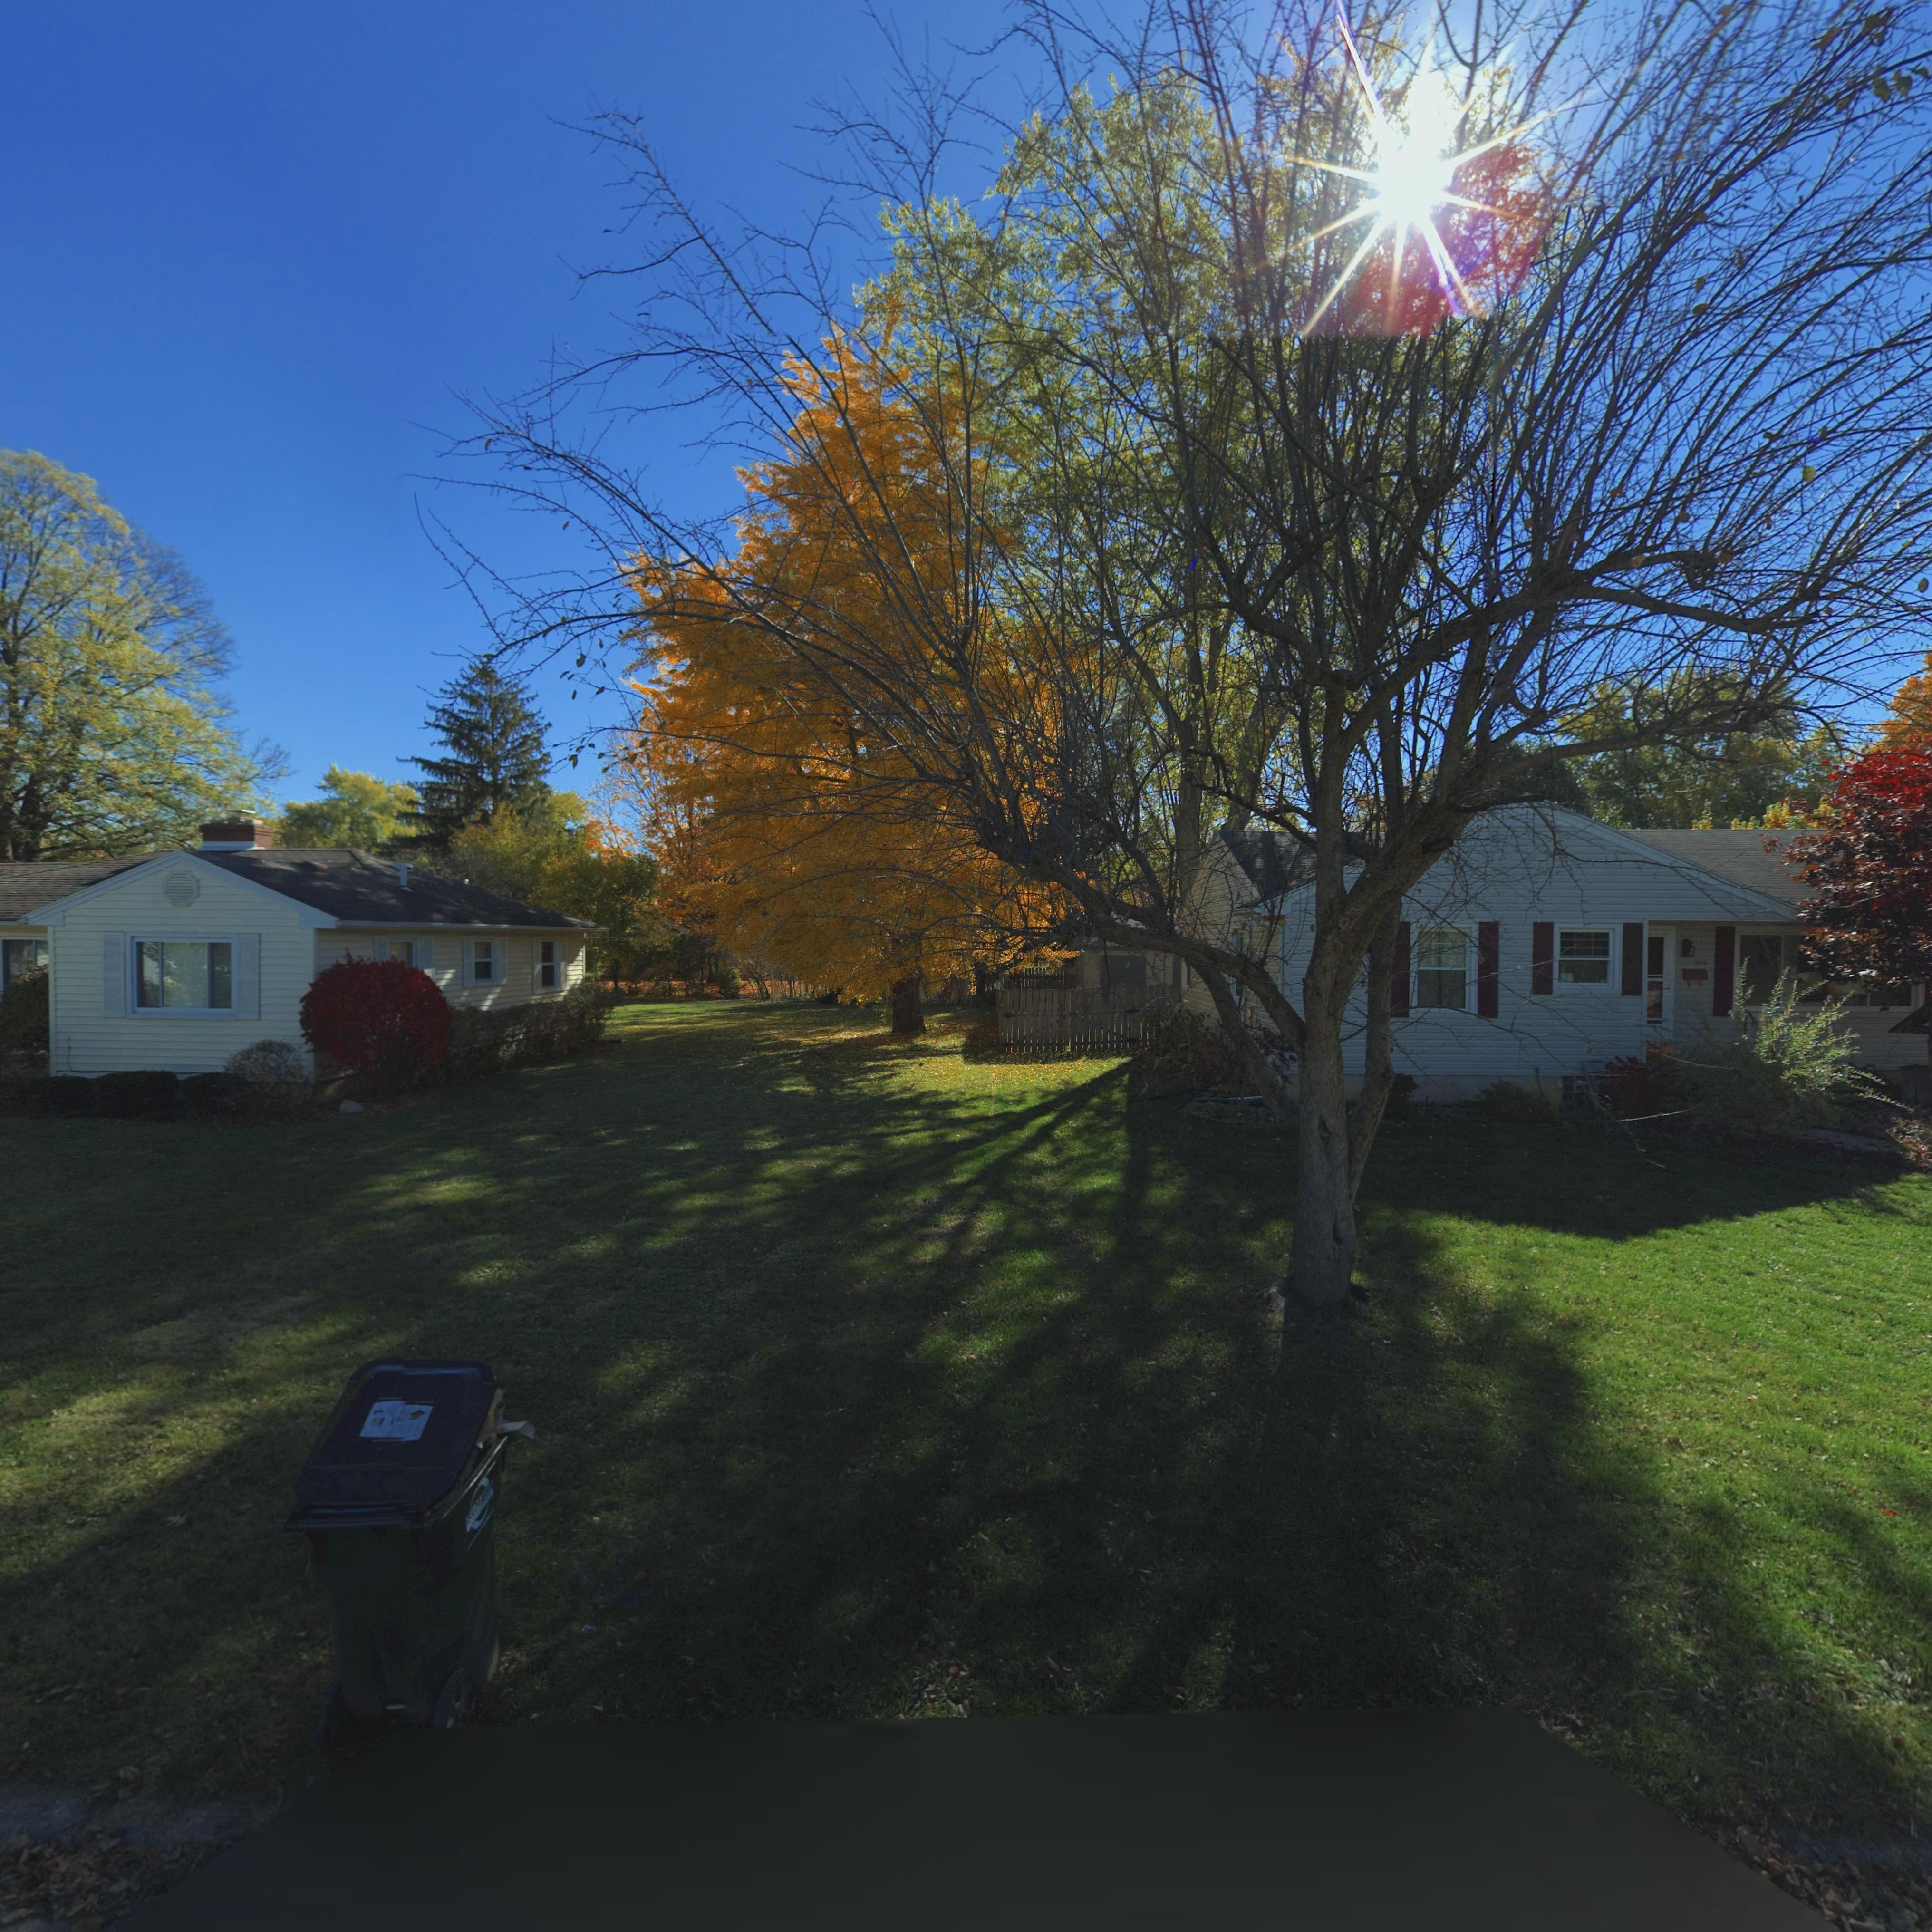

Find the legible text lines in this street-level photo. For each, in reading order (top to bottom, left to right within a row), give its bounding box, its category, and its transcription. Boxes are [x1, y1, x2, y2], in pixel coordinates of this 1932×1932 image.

[1692, 958, 1708, 966] StreetNumber: 307